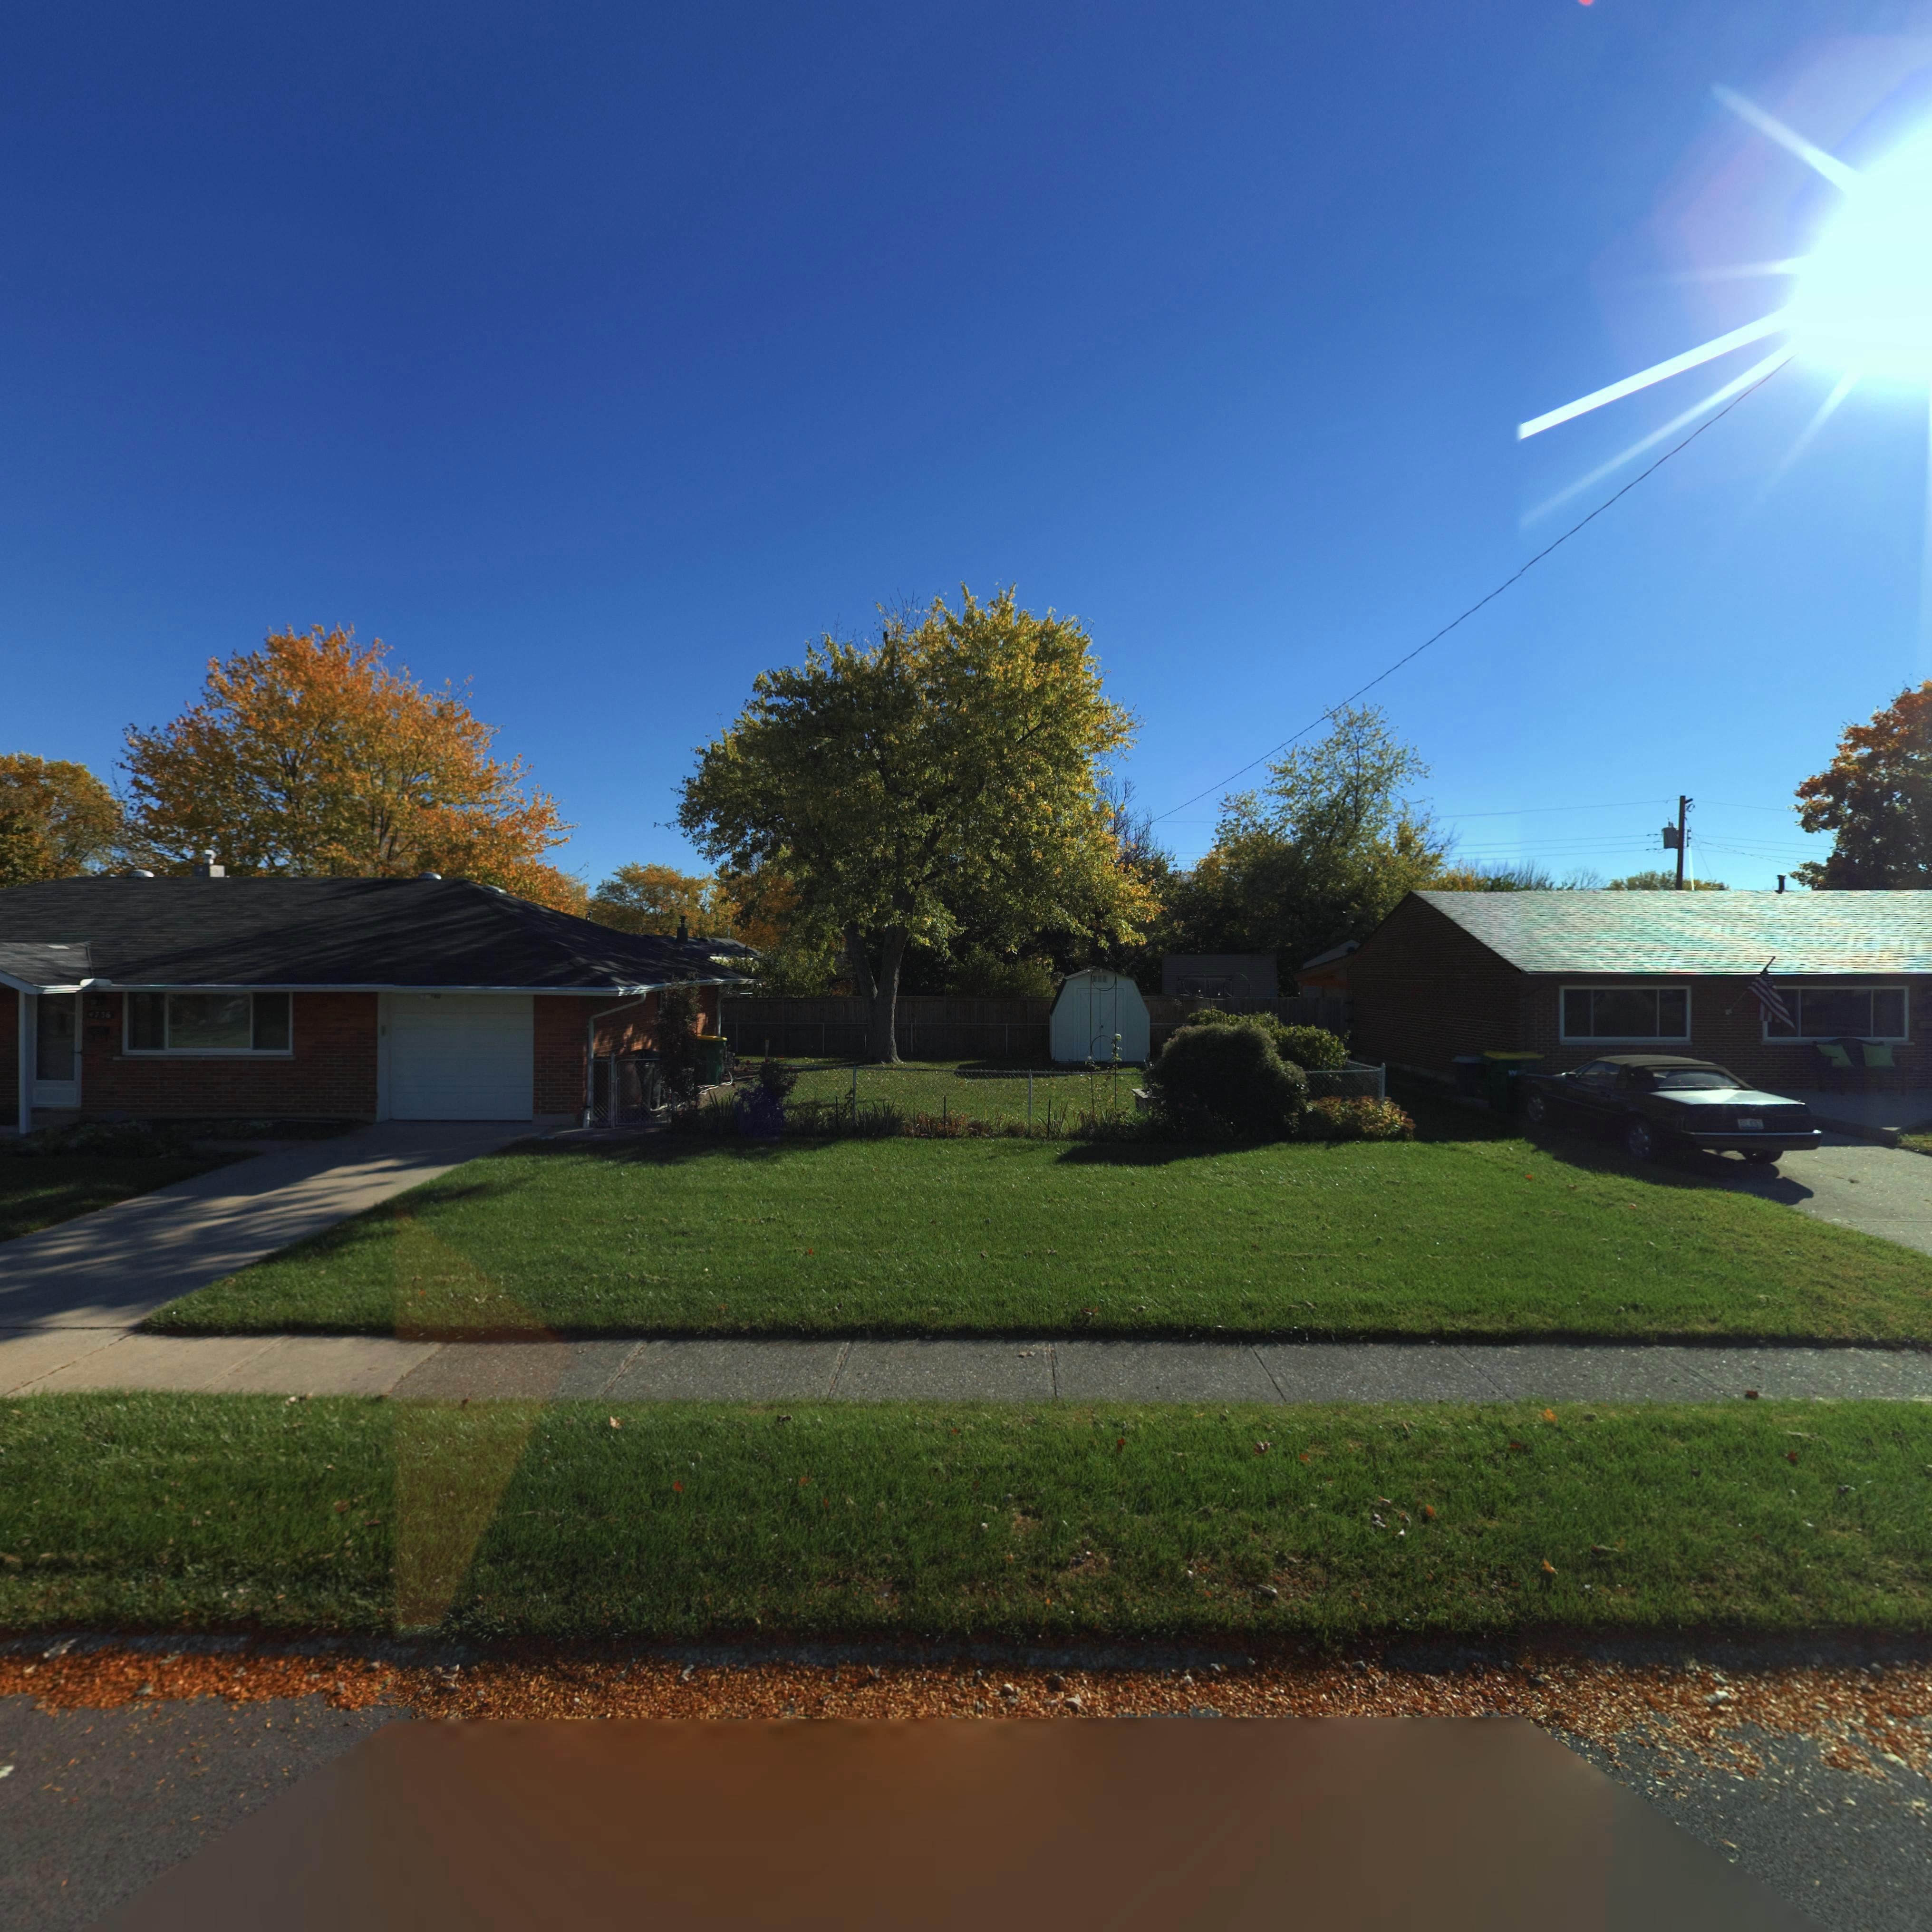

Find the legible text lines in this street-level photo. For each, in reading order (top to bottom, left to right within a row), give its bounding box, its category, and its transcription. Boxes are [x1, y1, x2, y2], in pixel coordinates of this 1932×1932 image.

[87, 1010, 111, 1018] StreetNumber: 4736